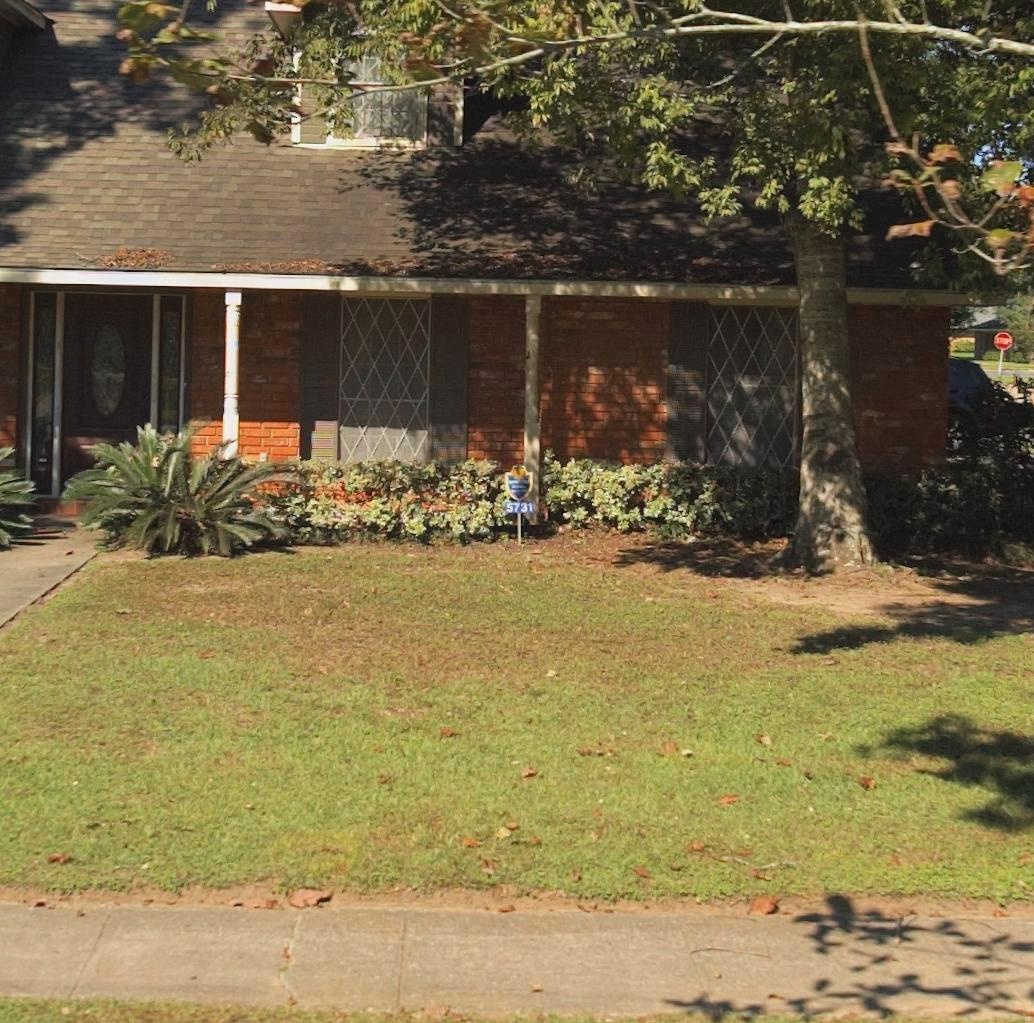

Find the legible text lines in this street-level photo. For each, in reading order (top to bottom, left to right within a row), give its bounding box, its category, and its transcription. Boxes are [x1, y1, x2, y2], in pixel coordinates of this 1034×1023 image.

[505, 501, 534, 514] StreetNumber: 5731